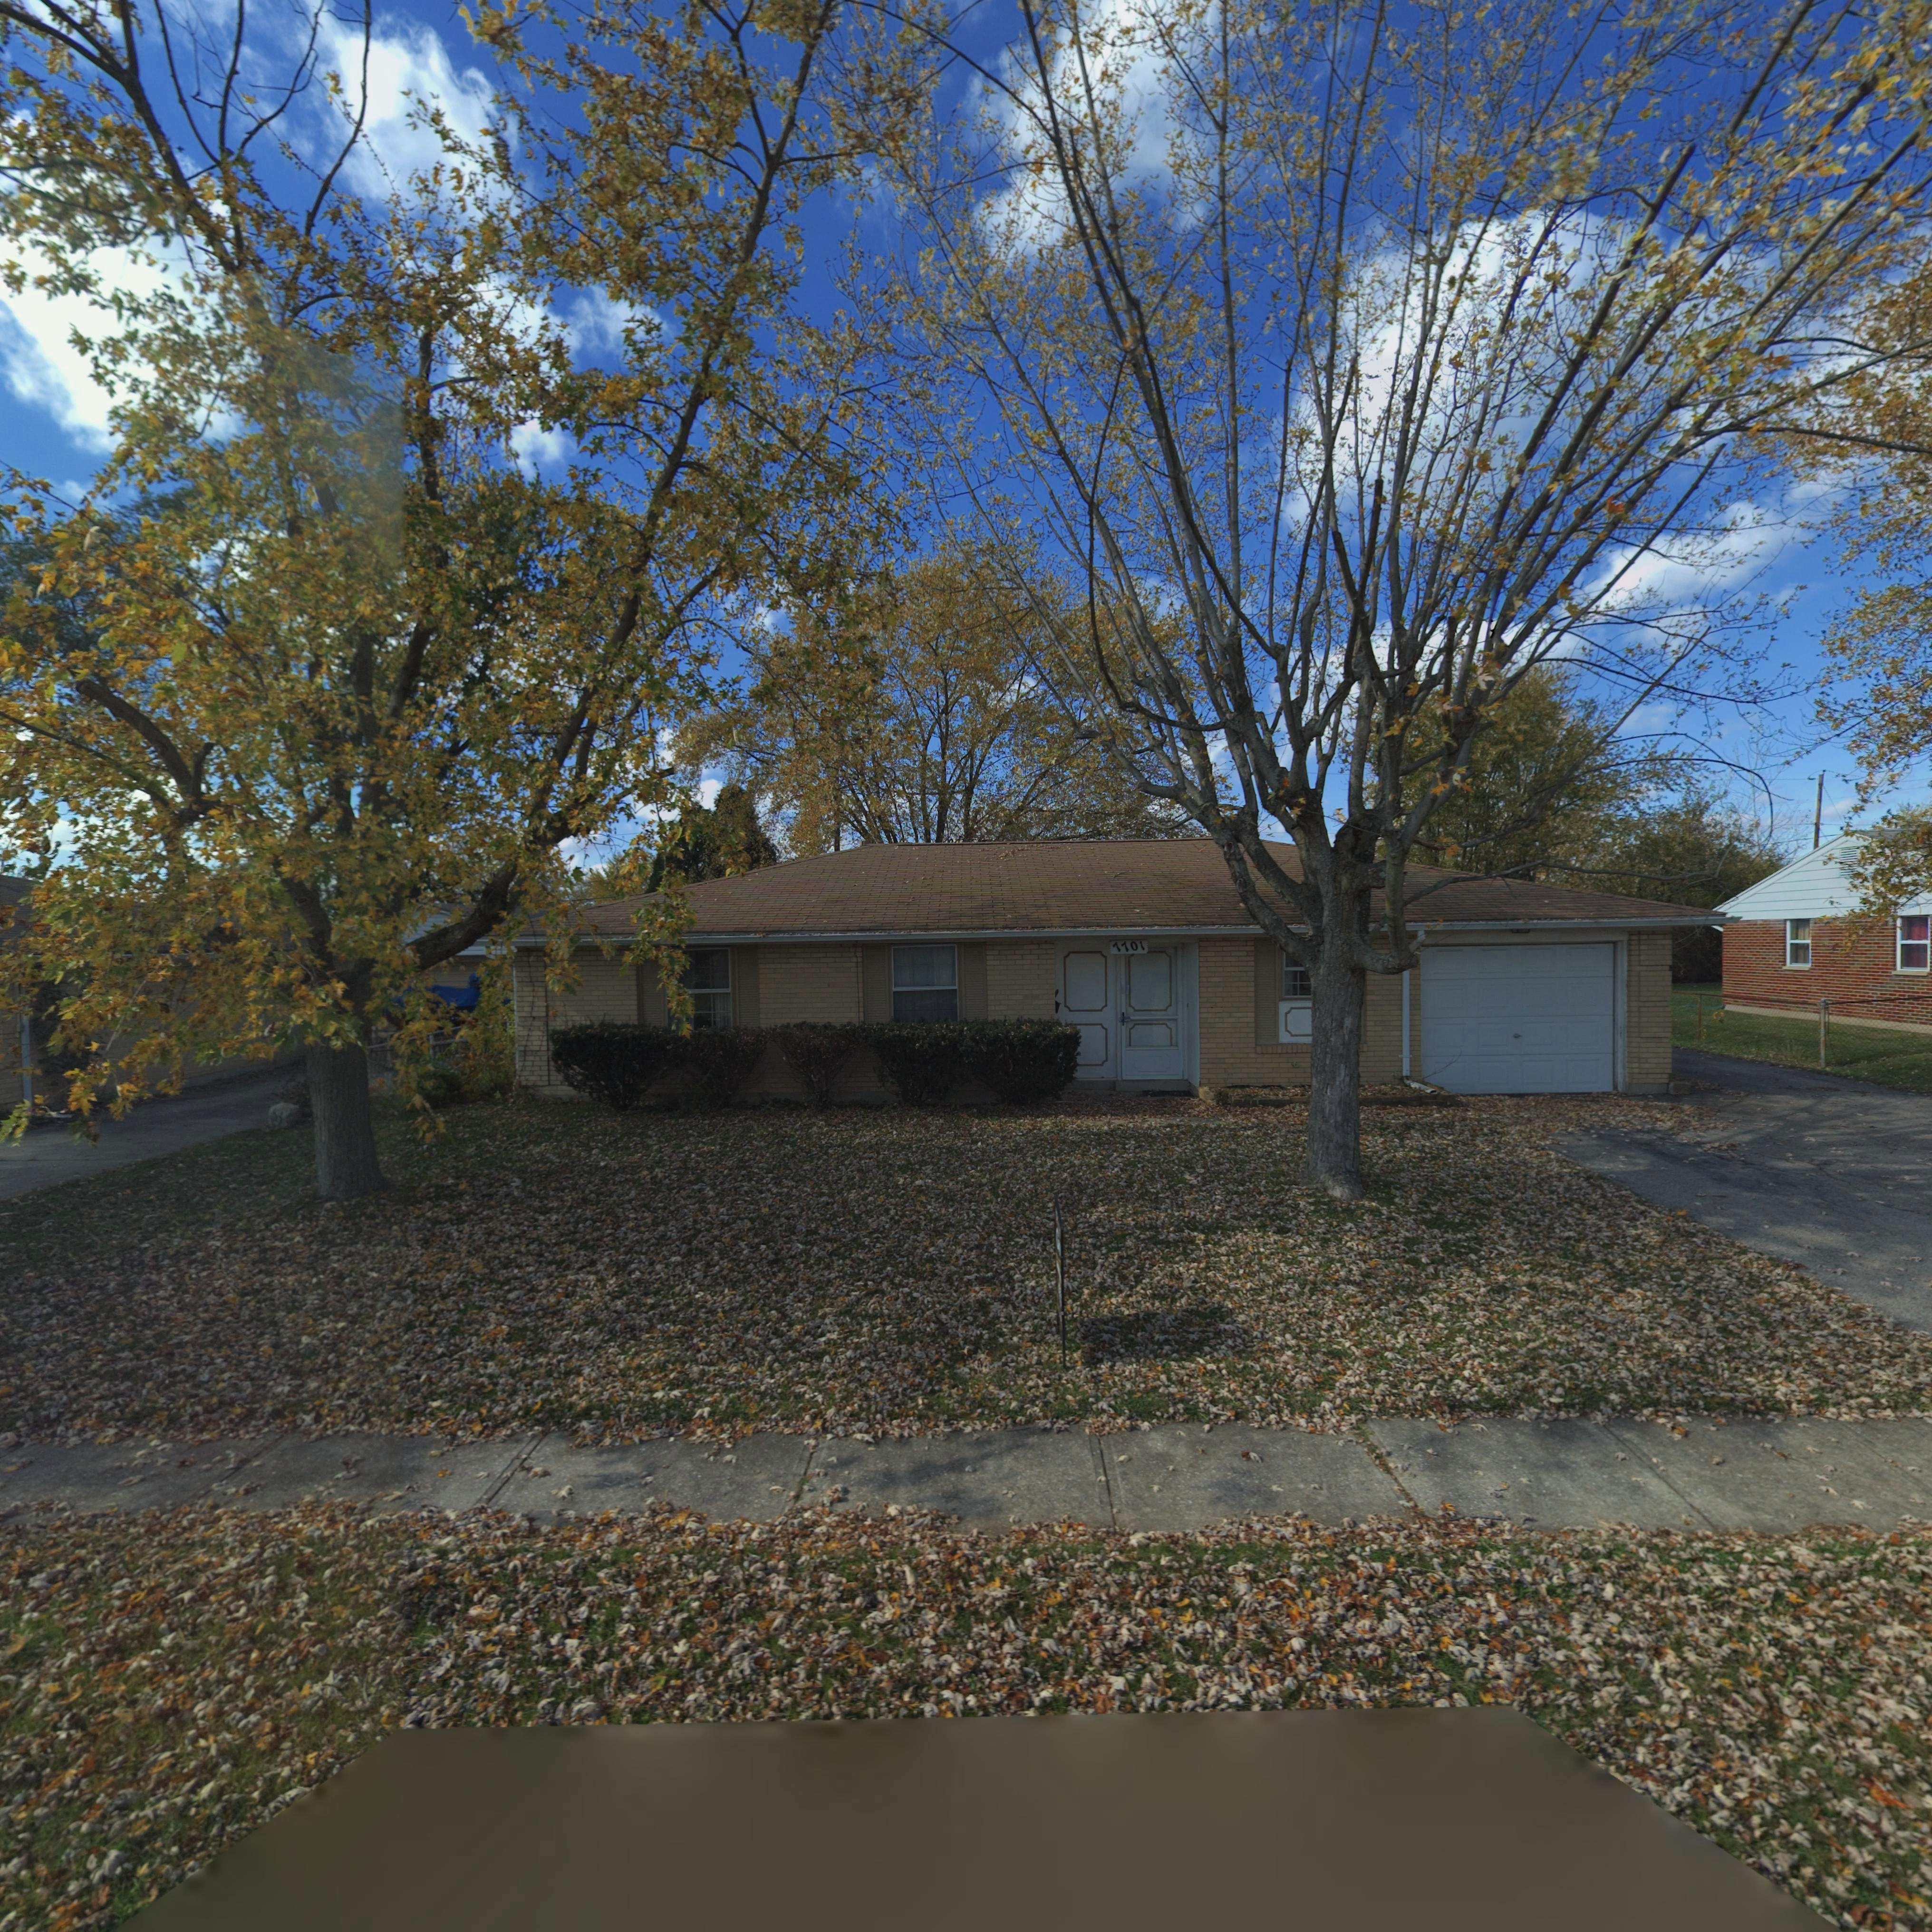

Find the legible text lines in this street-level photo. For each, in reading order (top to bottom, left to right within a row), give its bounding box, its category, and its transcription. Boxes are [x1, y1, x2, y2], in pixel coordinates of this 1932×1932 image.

[1111, 940, 1146, 953] StreetNumber: 7701